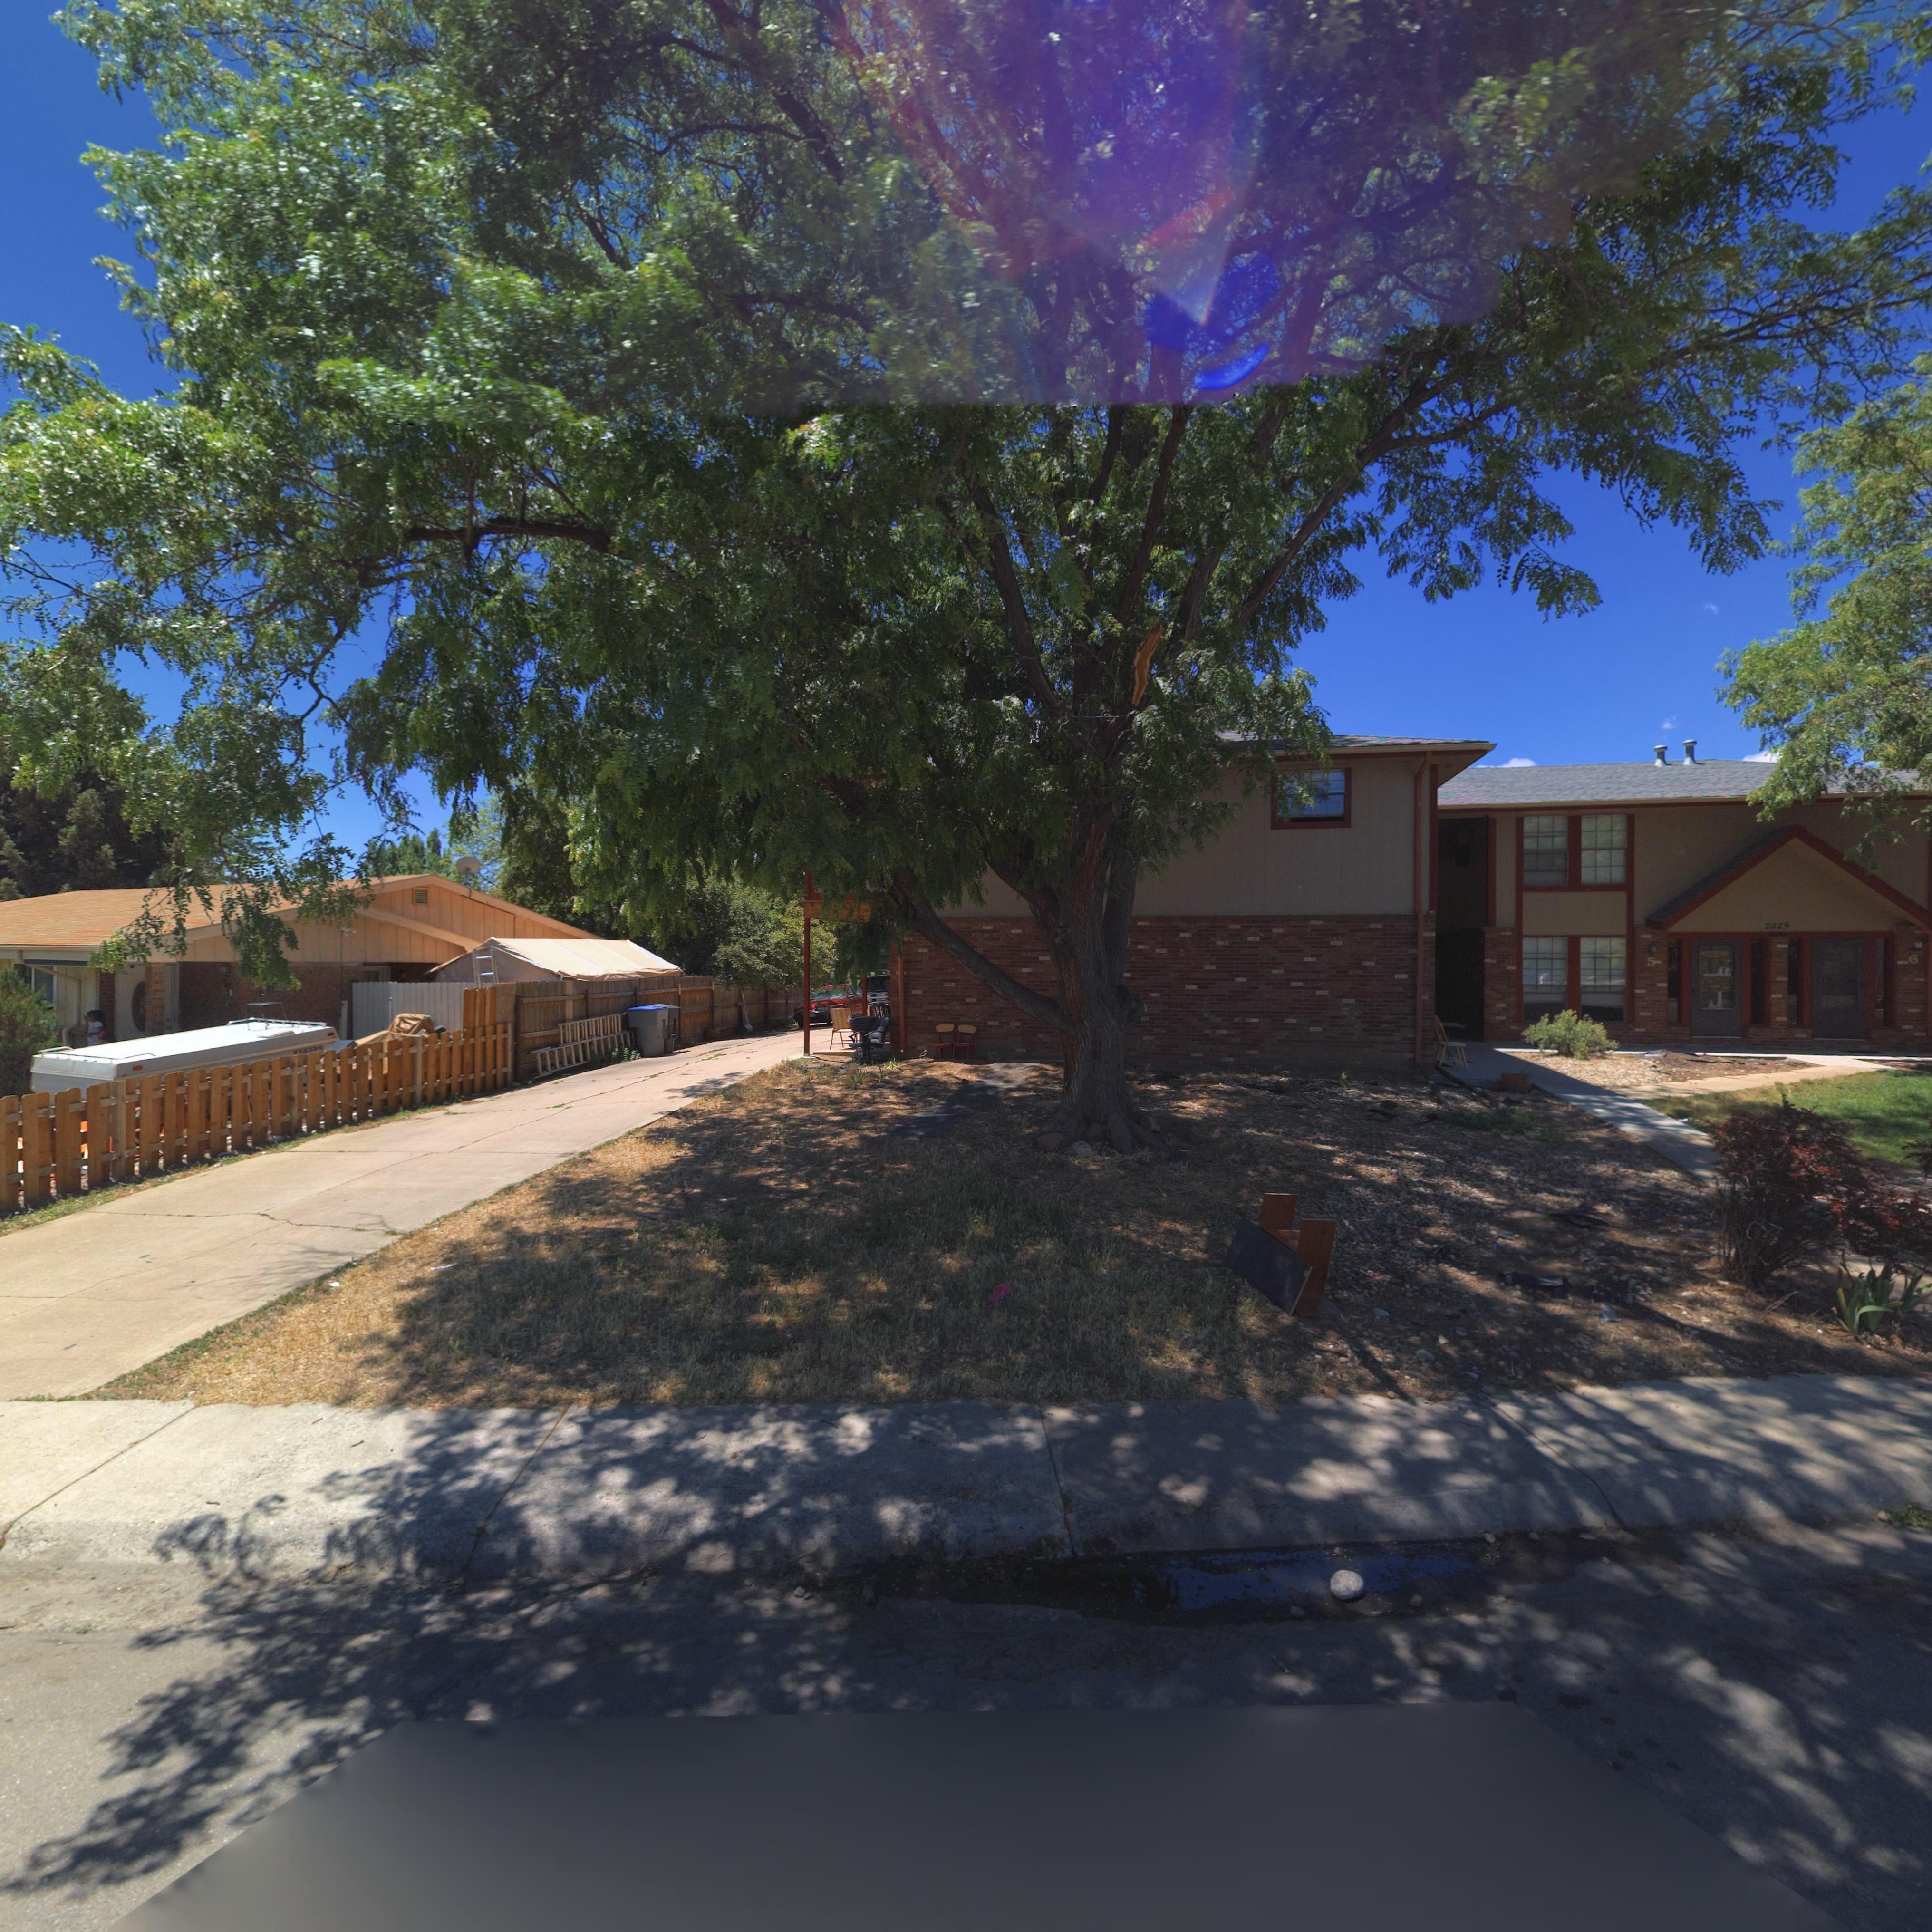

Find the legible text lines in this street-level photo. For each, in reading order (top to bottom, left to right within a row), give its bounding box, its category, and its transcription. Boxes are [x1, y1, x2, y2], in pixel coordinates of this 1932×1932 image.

[1764, 922, 1790, 929] StreetNumber: 2029
[1647, 957, 1655, 966] StreetNumber: 5
[1908, 954, 1918, 964] StreetNumber: 6